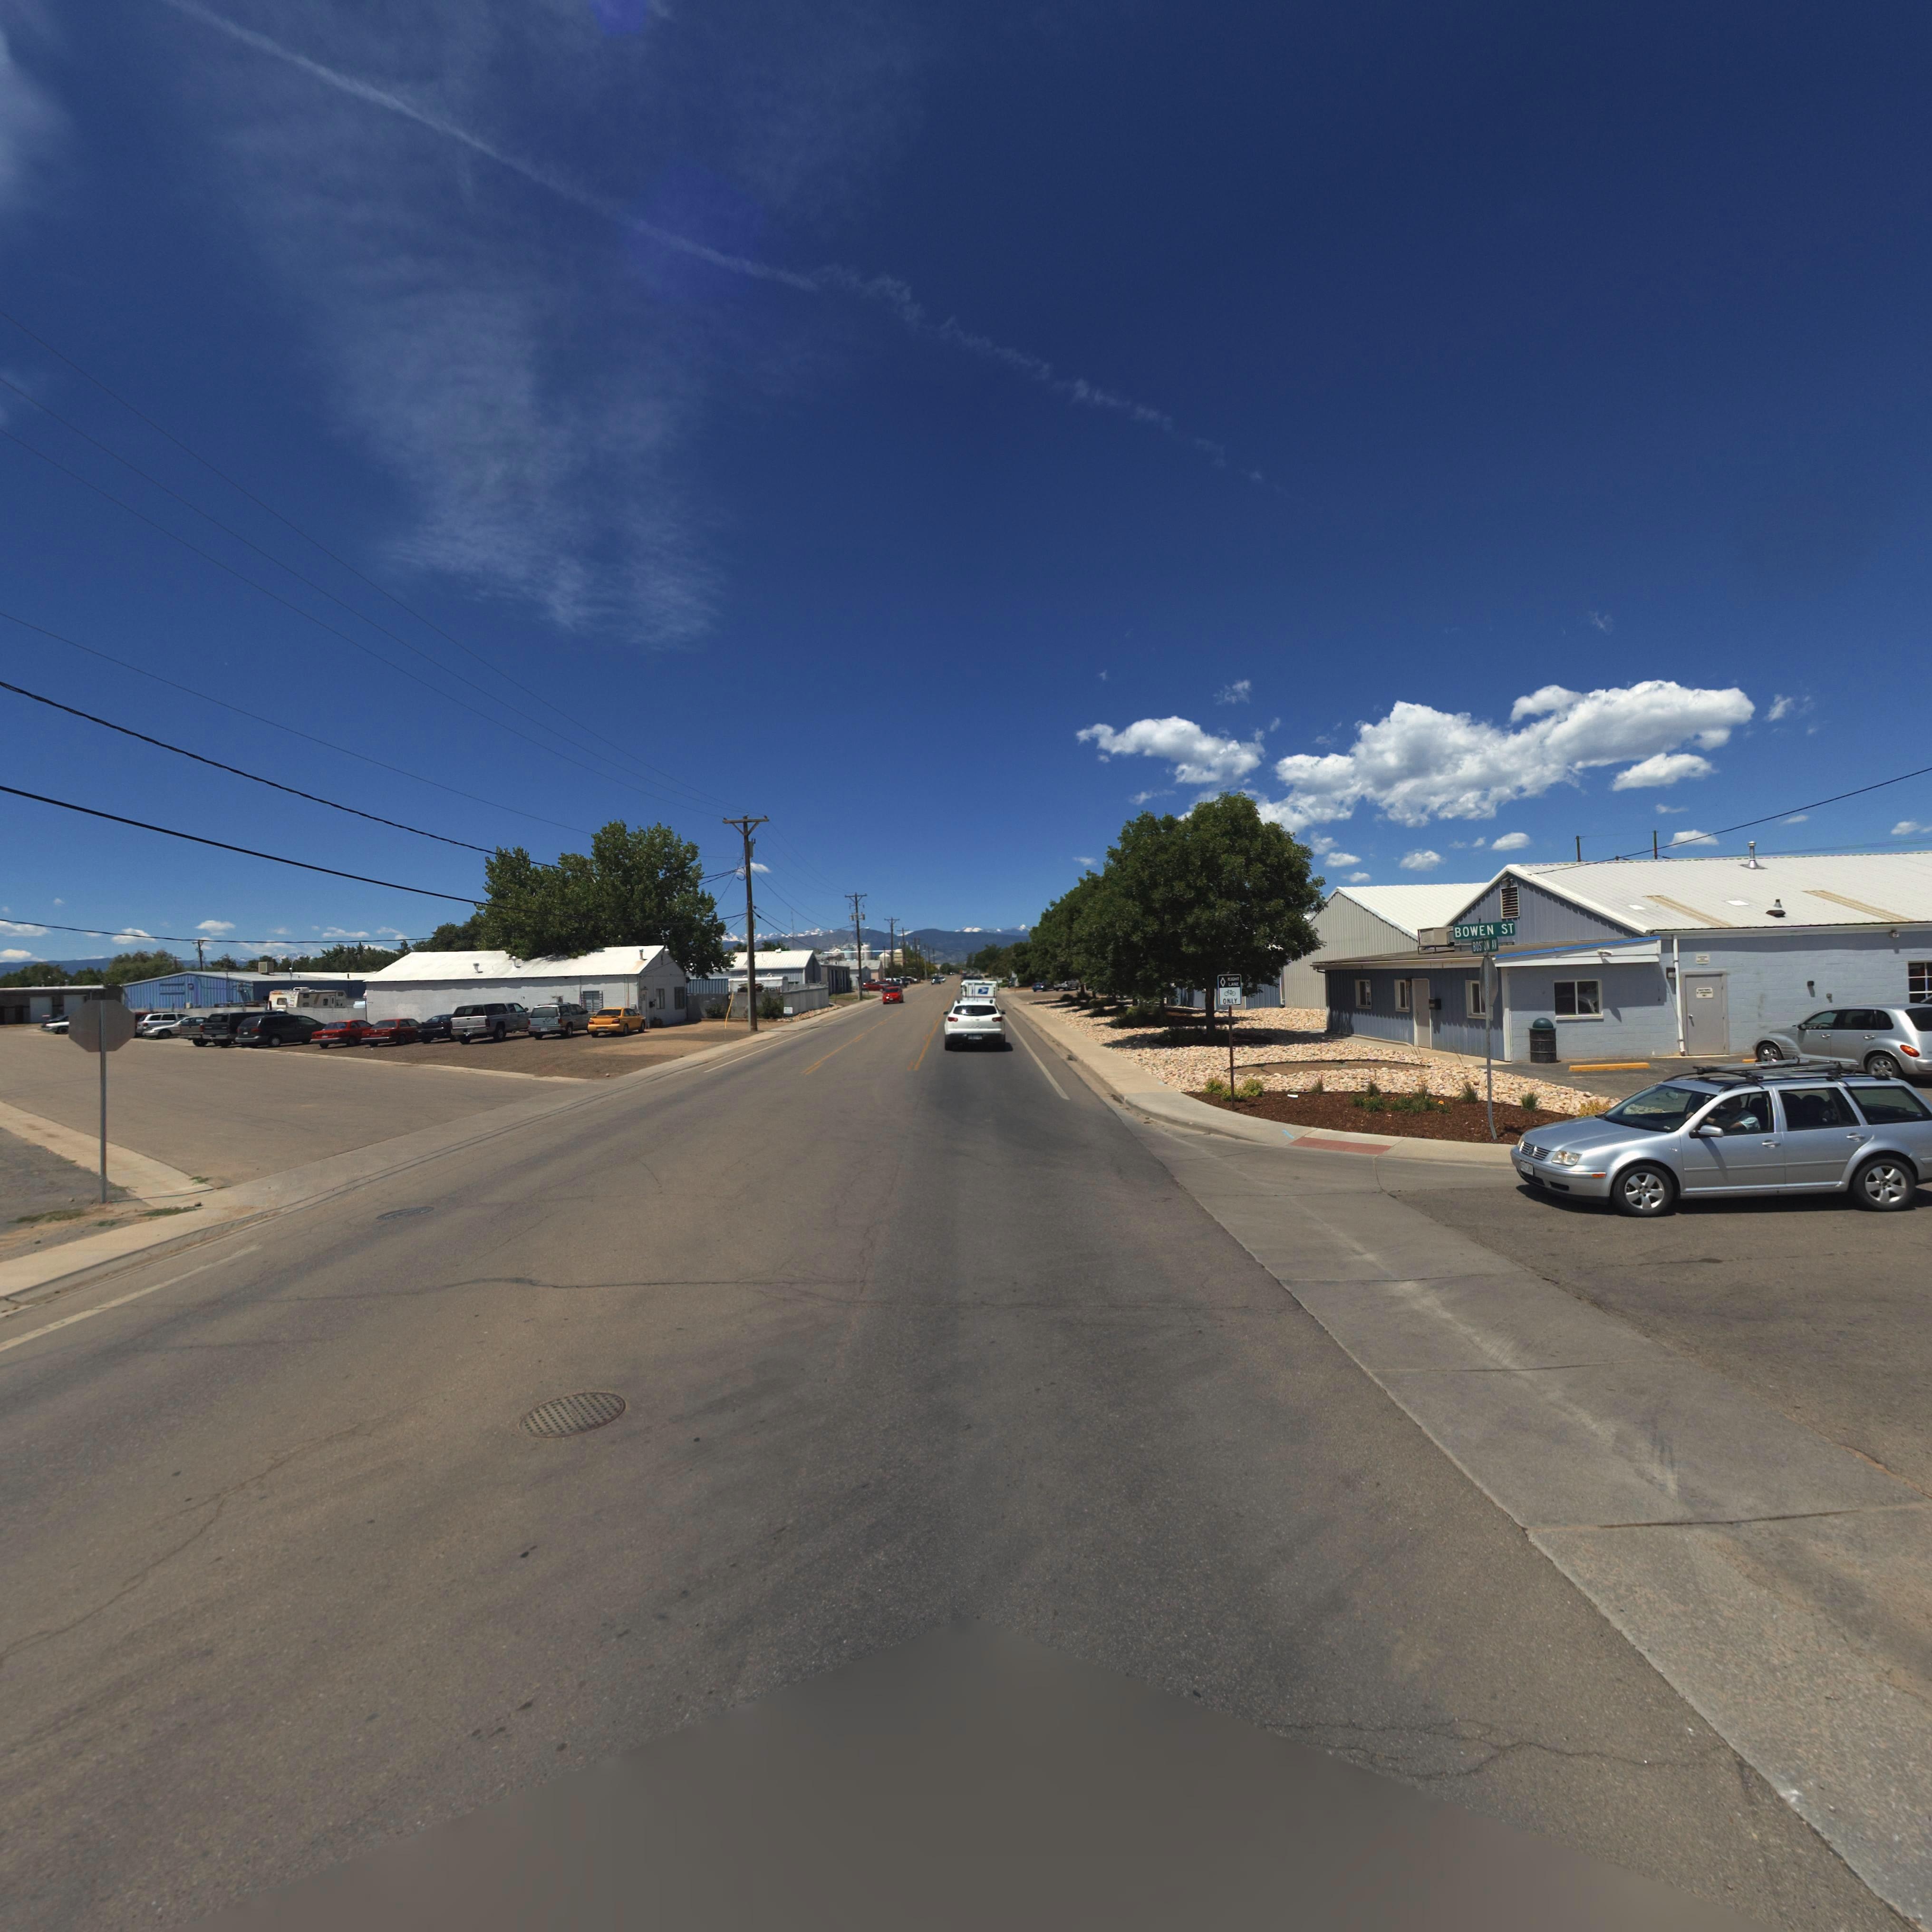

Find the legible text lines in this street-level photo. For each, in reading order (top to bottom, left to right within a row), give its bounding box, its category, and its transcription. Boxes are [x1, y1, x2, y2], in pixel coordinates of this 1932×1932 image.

[1453, 923, 1514, 938] StreetName: BOWEN ST
[1472, 938, 1497, 953] StreetName: BOSTON AV